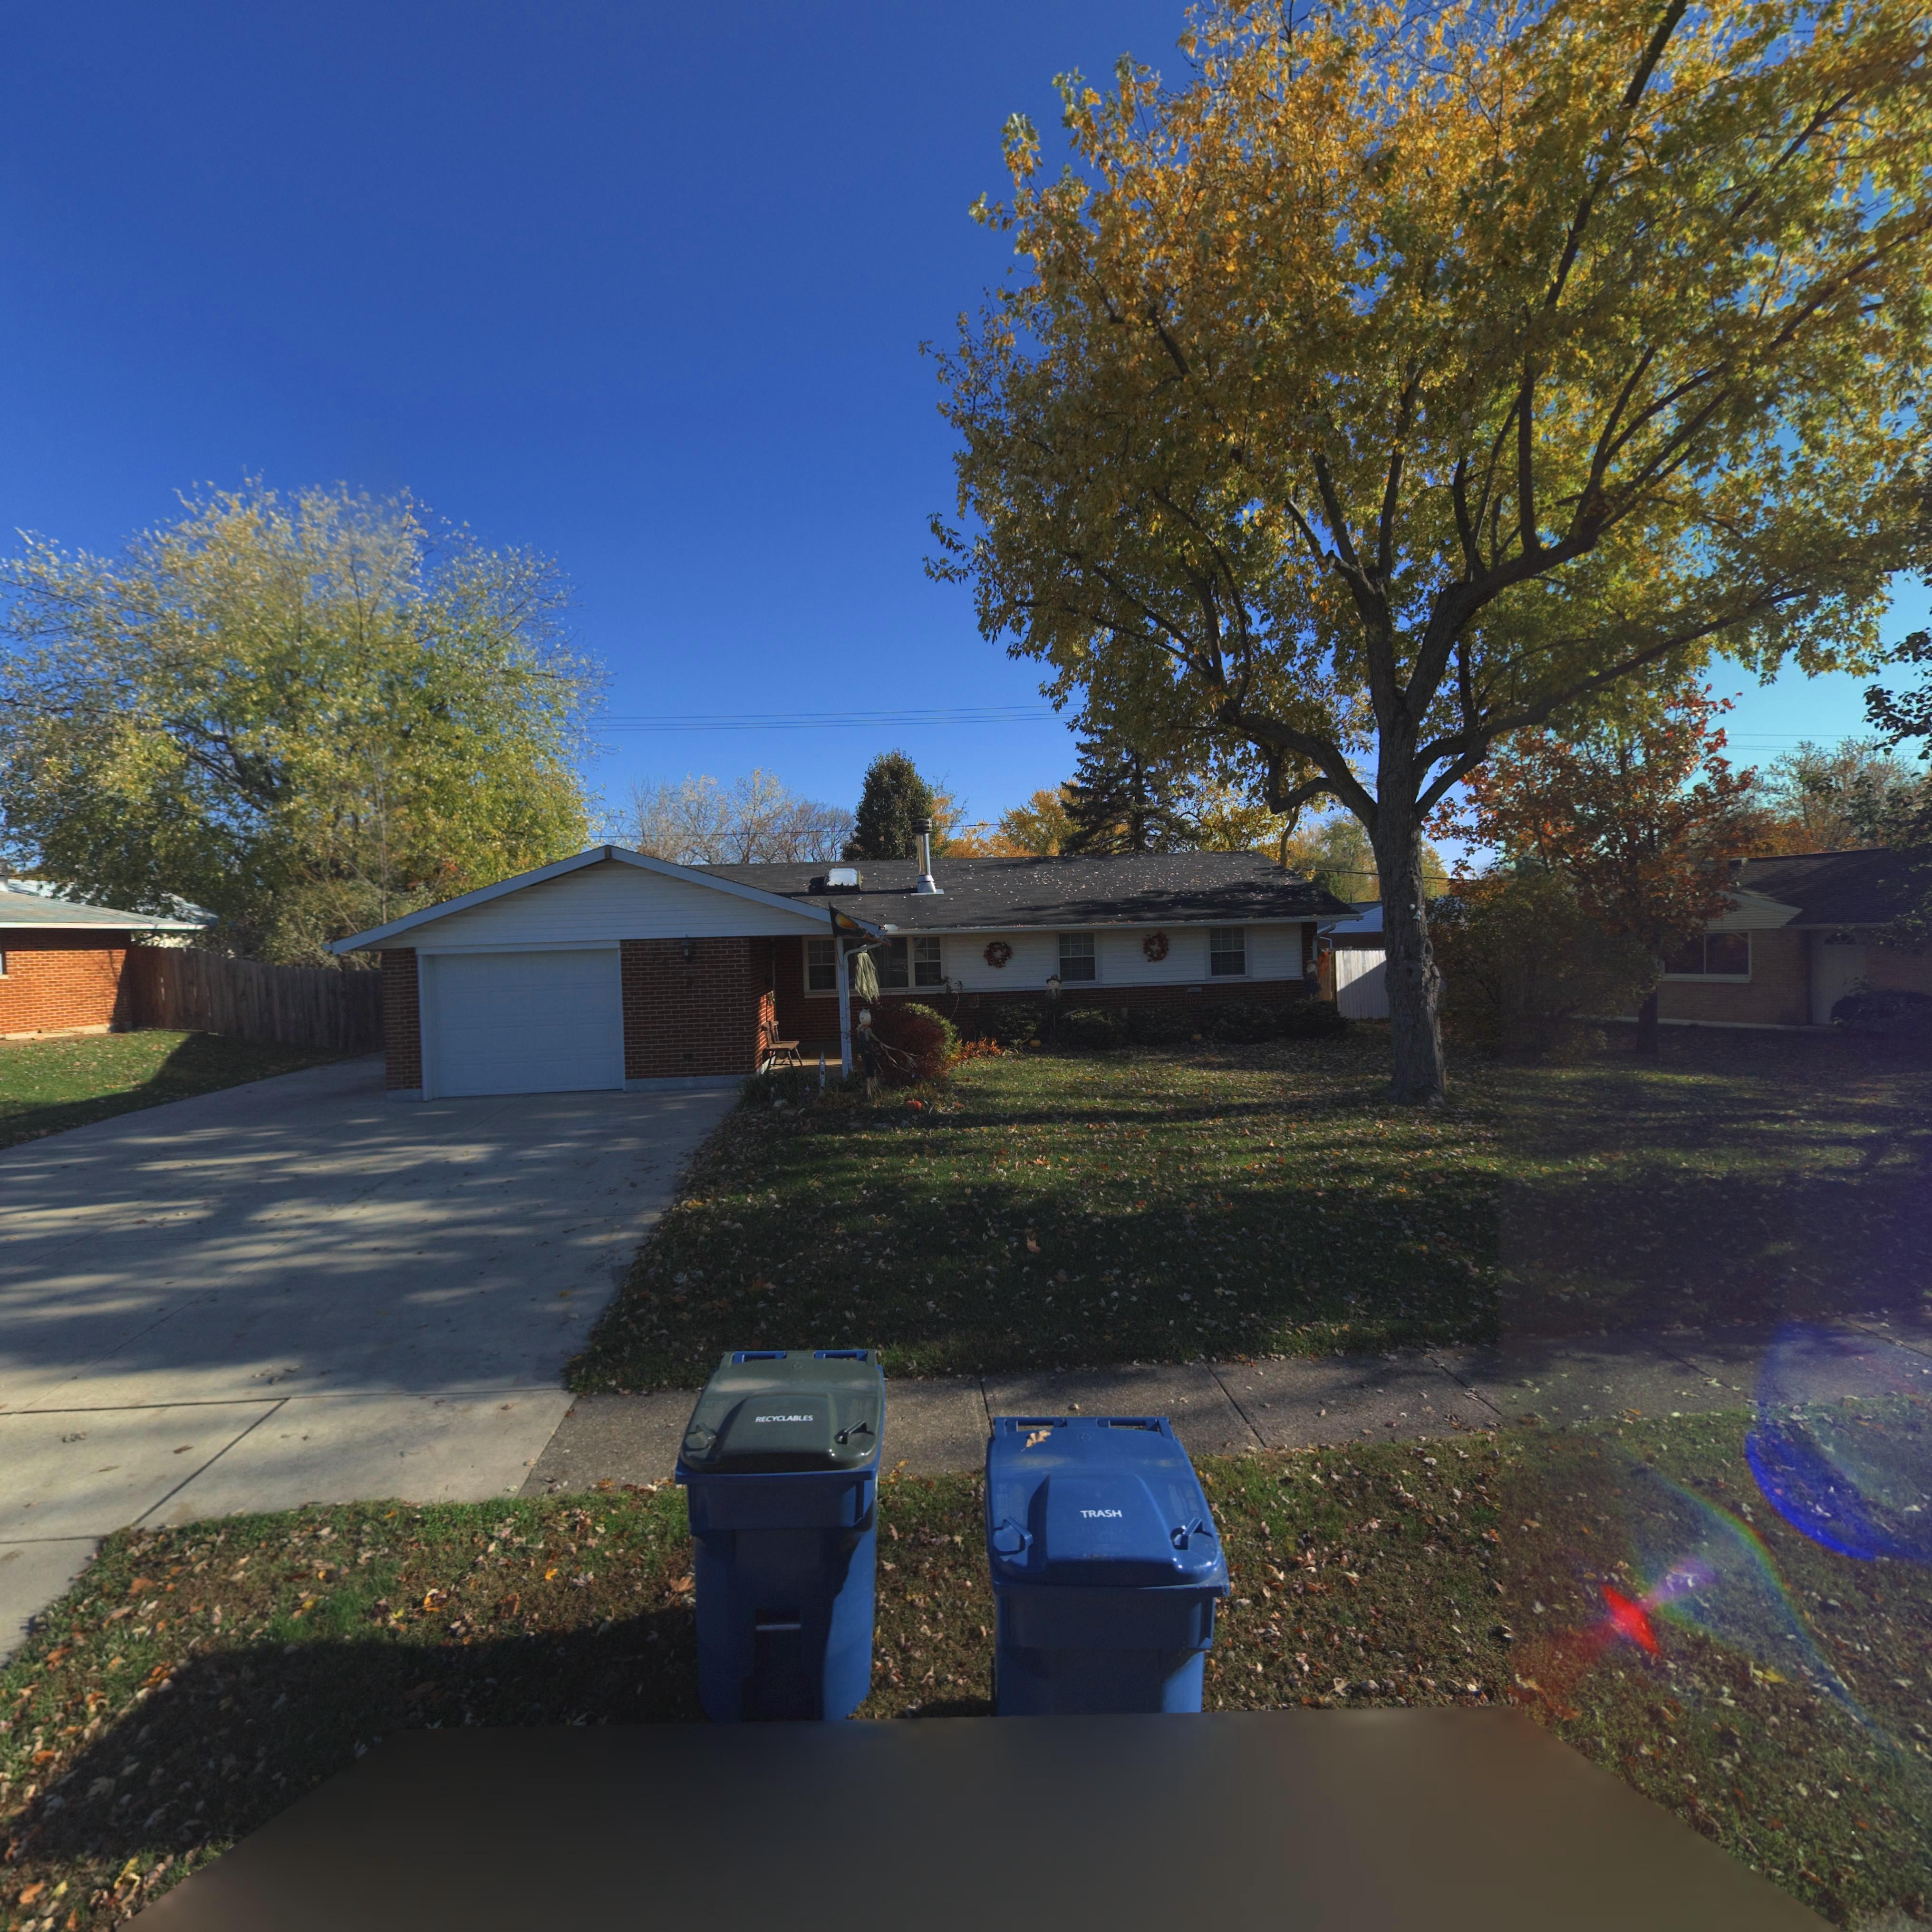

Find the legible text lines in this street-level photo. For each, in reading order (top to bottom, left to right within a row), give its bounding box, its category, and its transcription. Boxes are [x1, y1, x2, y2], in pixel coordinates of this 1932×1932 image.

[649, 952, 696, 988] StreetNumber: ***2